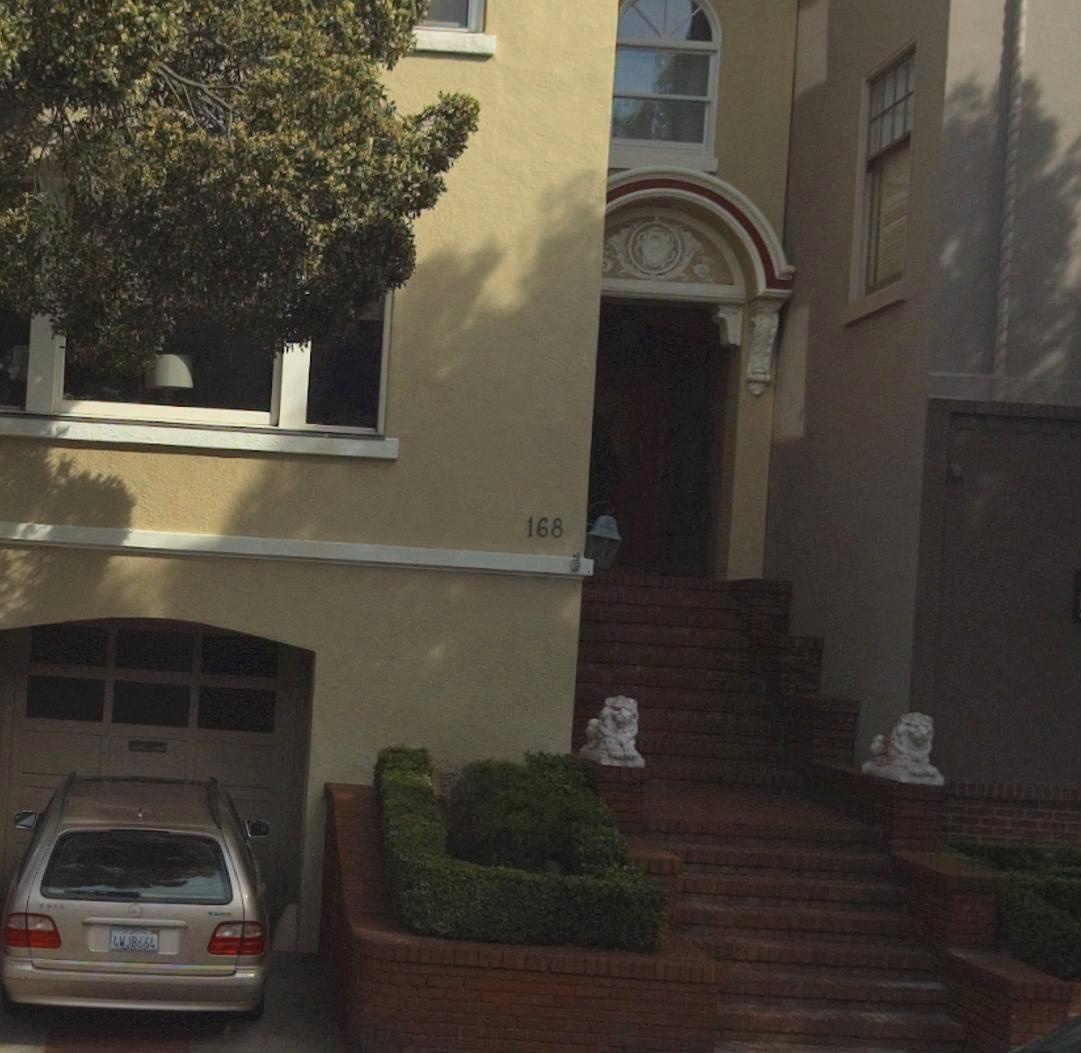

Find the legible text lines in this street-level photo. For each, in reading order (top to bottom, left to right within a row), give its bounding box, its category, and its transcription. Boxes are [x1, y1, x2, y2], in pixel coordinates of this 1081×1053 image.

[525, 513, 566, 541] StreetNumber: 168
[110, 932, 158, 952] None: 2WJB664